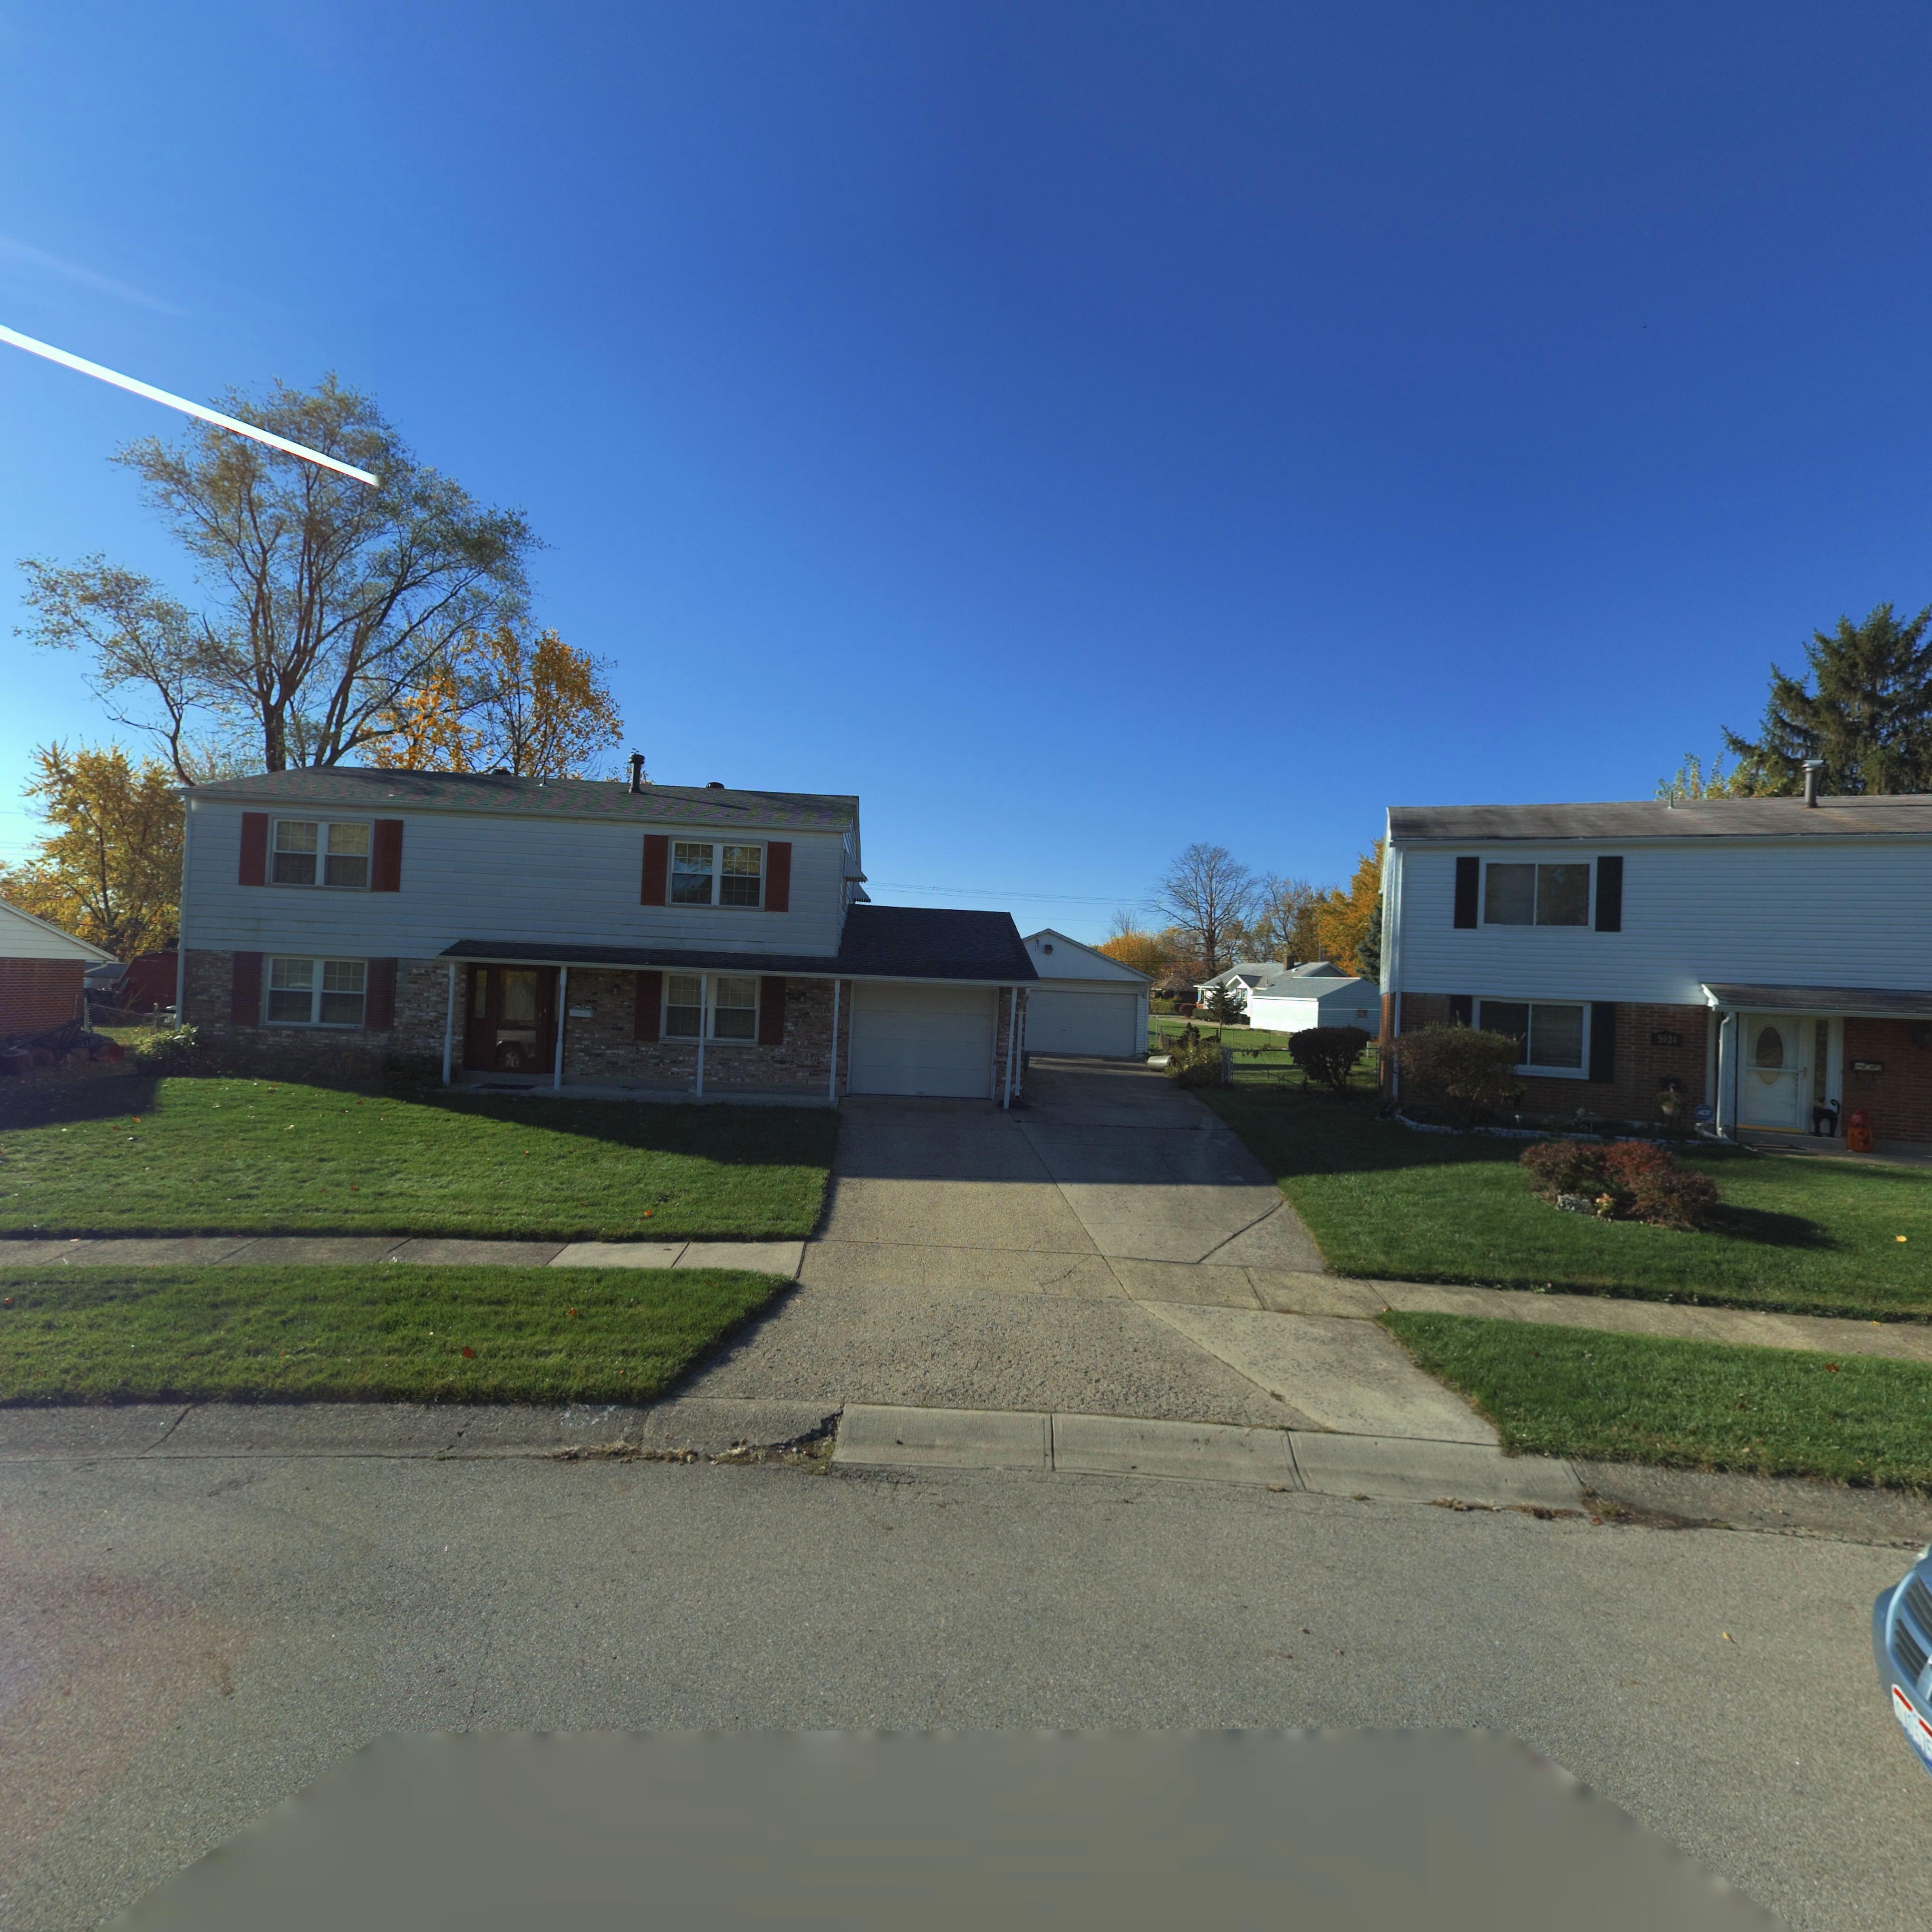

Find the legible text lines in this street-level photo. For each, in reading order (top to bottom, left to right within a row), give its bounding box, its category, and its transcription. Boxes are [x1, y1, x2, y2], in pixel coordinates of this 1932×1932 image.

[1656, 1034, 1679, 1045] StreetNumber: 5924